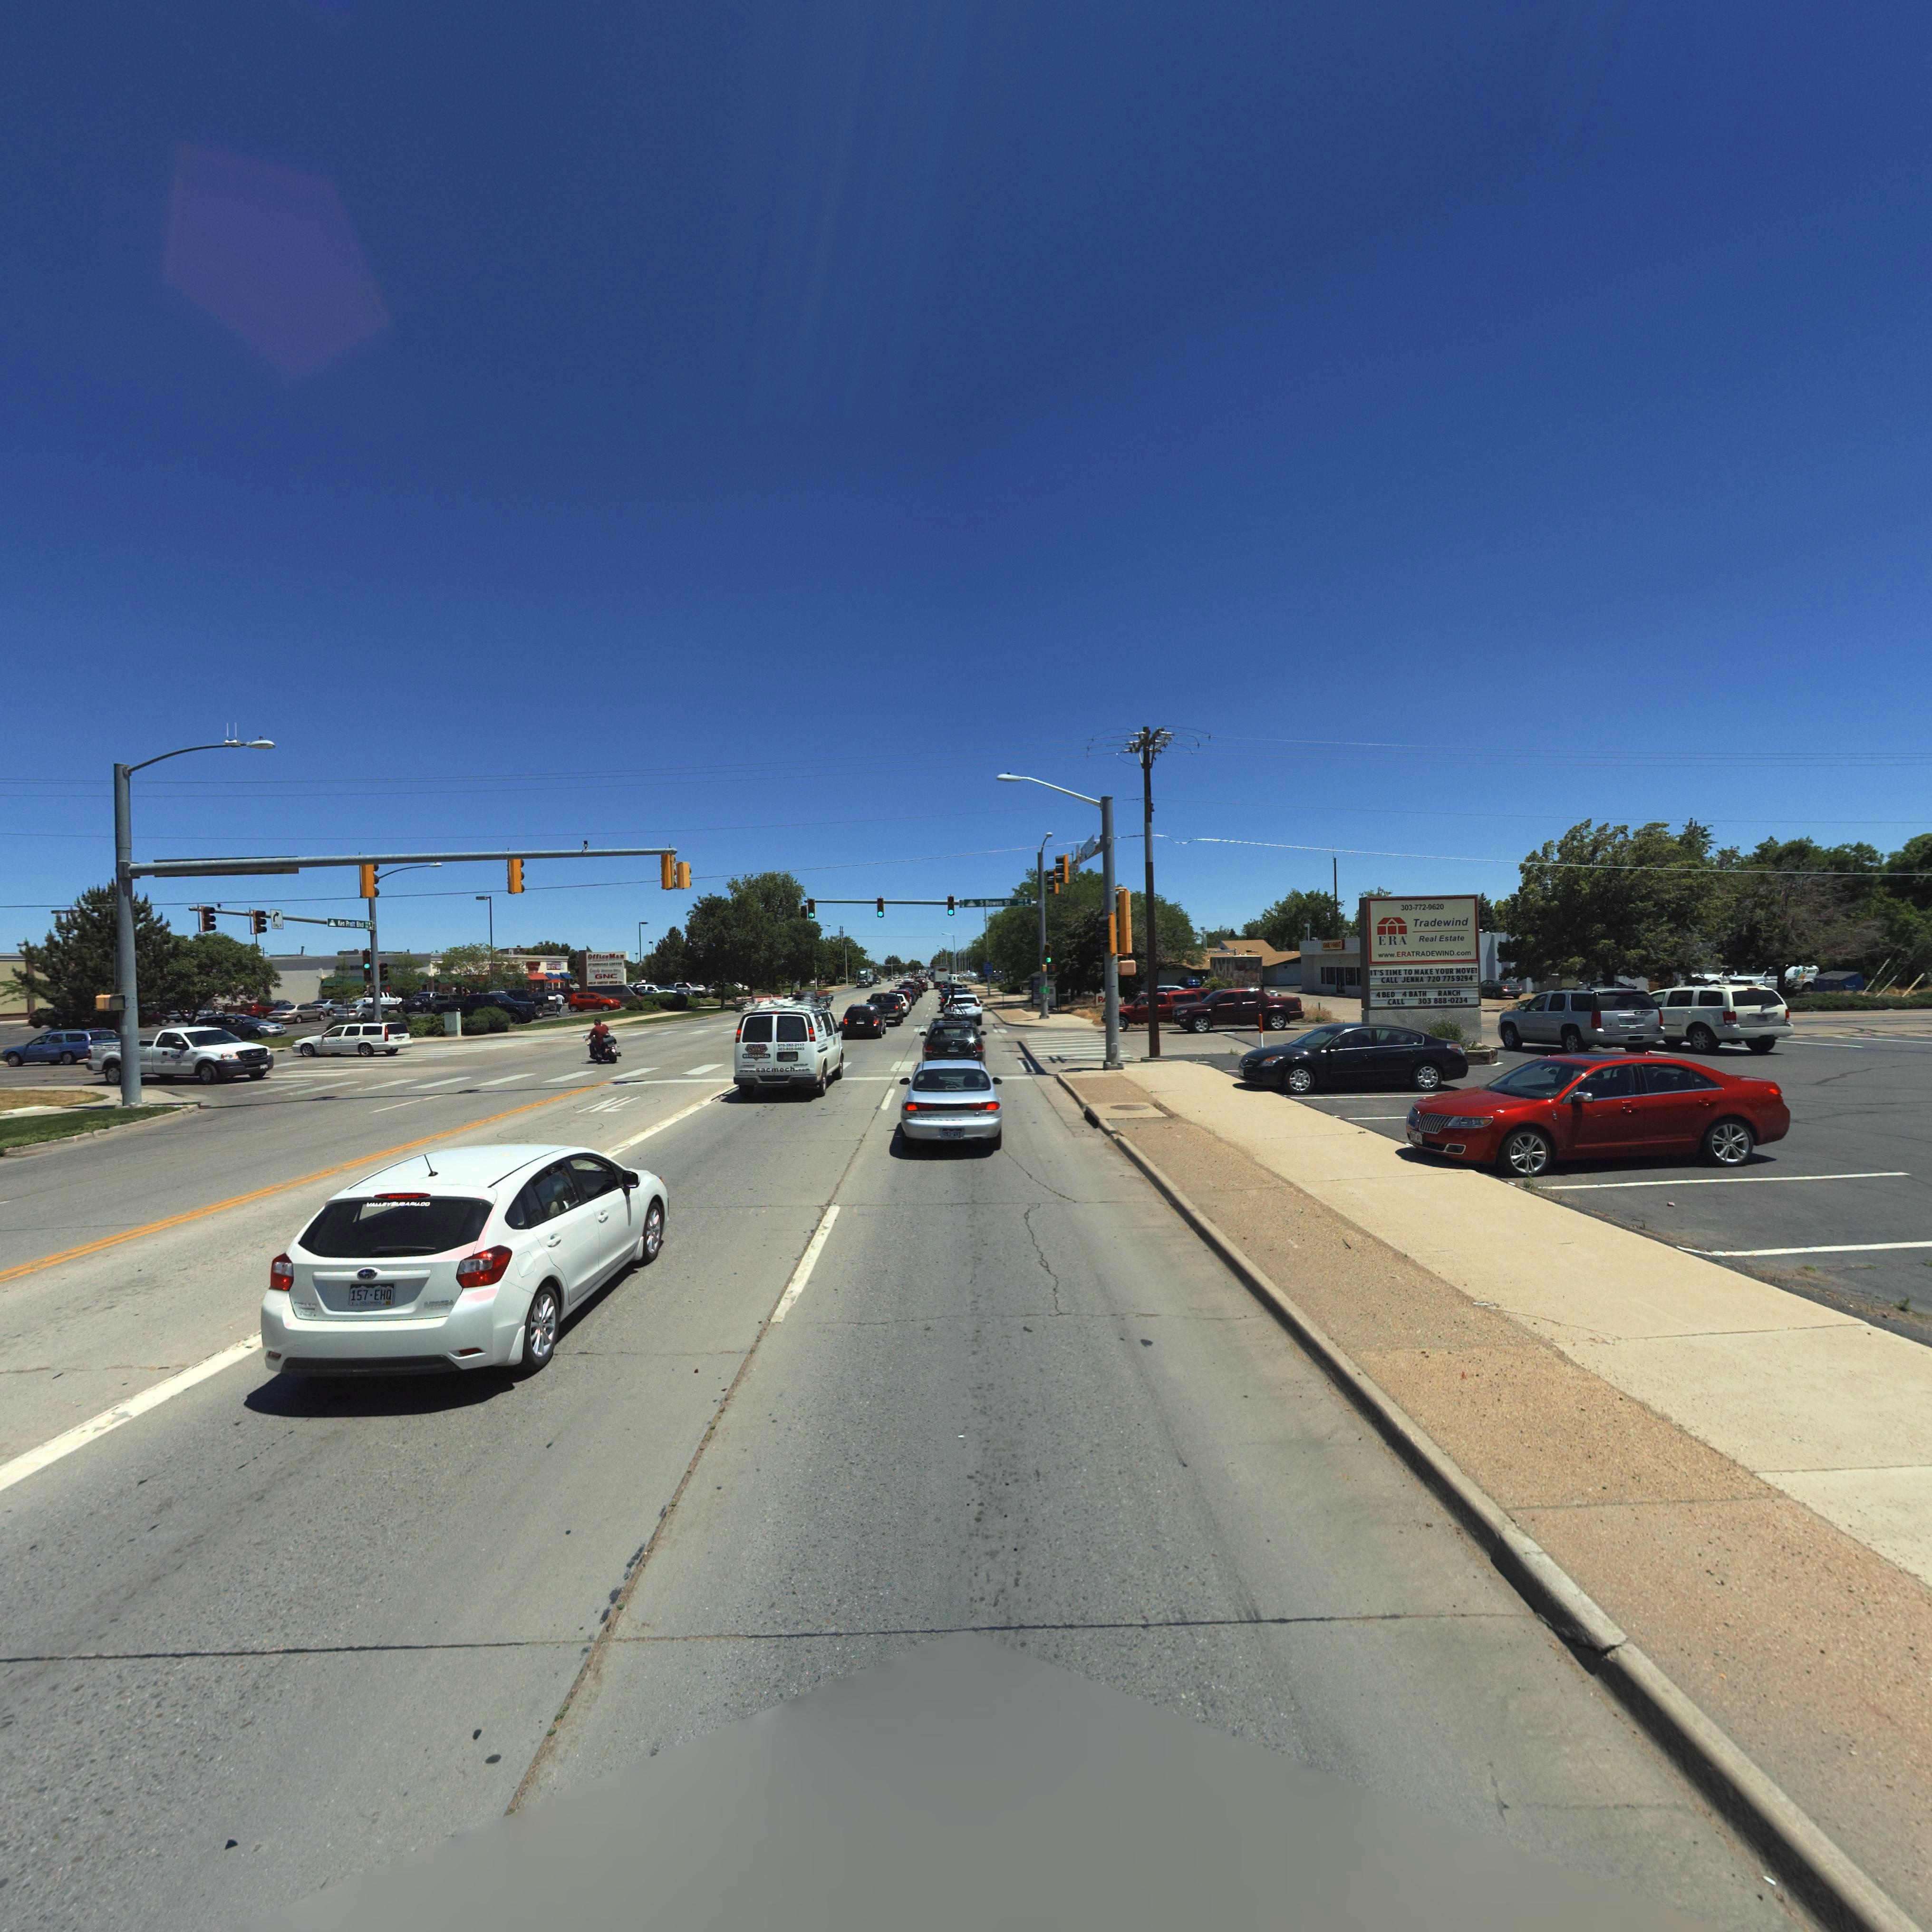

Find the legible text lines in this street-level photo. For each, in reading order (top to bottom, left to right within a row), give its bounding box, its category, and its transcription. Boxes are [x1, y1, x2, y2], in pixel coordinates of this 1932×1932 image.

[979, 899, 1011, 906] StreetName: S Bowen St
[337, 919, 364, 927] StreetName: *en Pr*tt Blvd
[1412, 917, 1469, 927] BusinessName: Tradewind
[1377, 935, 1408, 946] BusinessName: ERA
[1418, 934, 1465, 942] BusinessName: Real Estate
[1322, 941, 1341, 948] BusinessName: ***L * PAINT
[588, 953, 625, 959] BusinessName: Office Max
[594, 973, 617, 979] BusinessName: GNC
[1097, 995, 1103, 1003] BusinessName: P